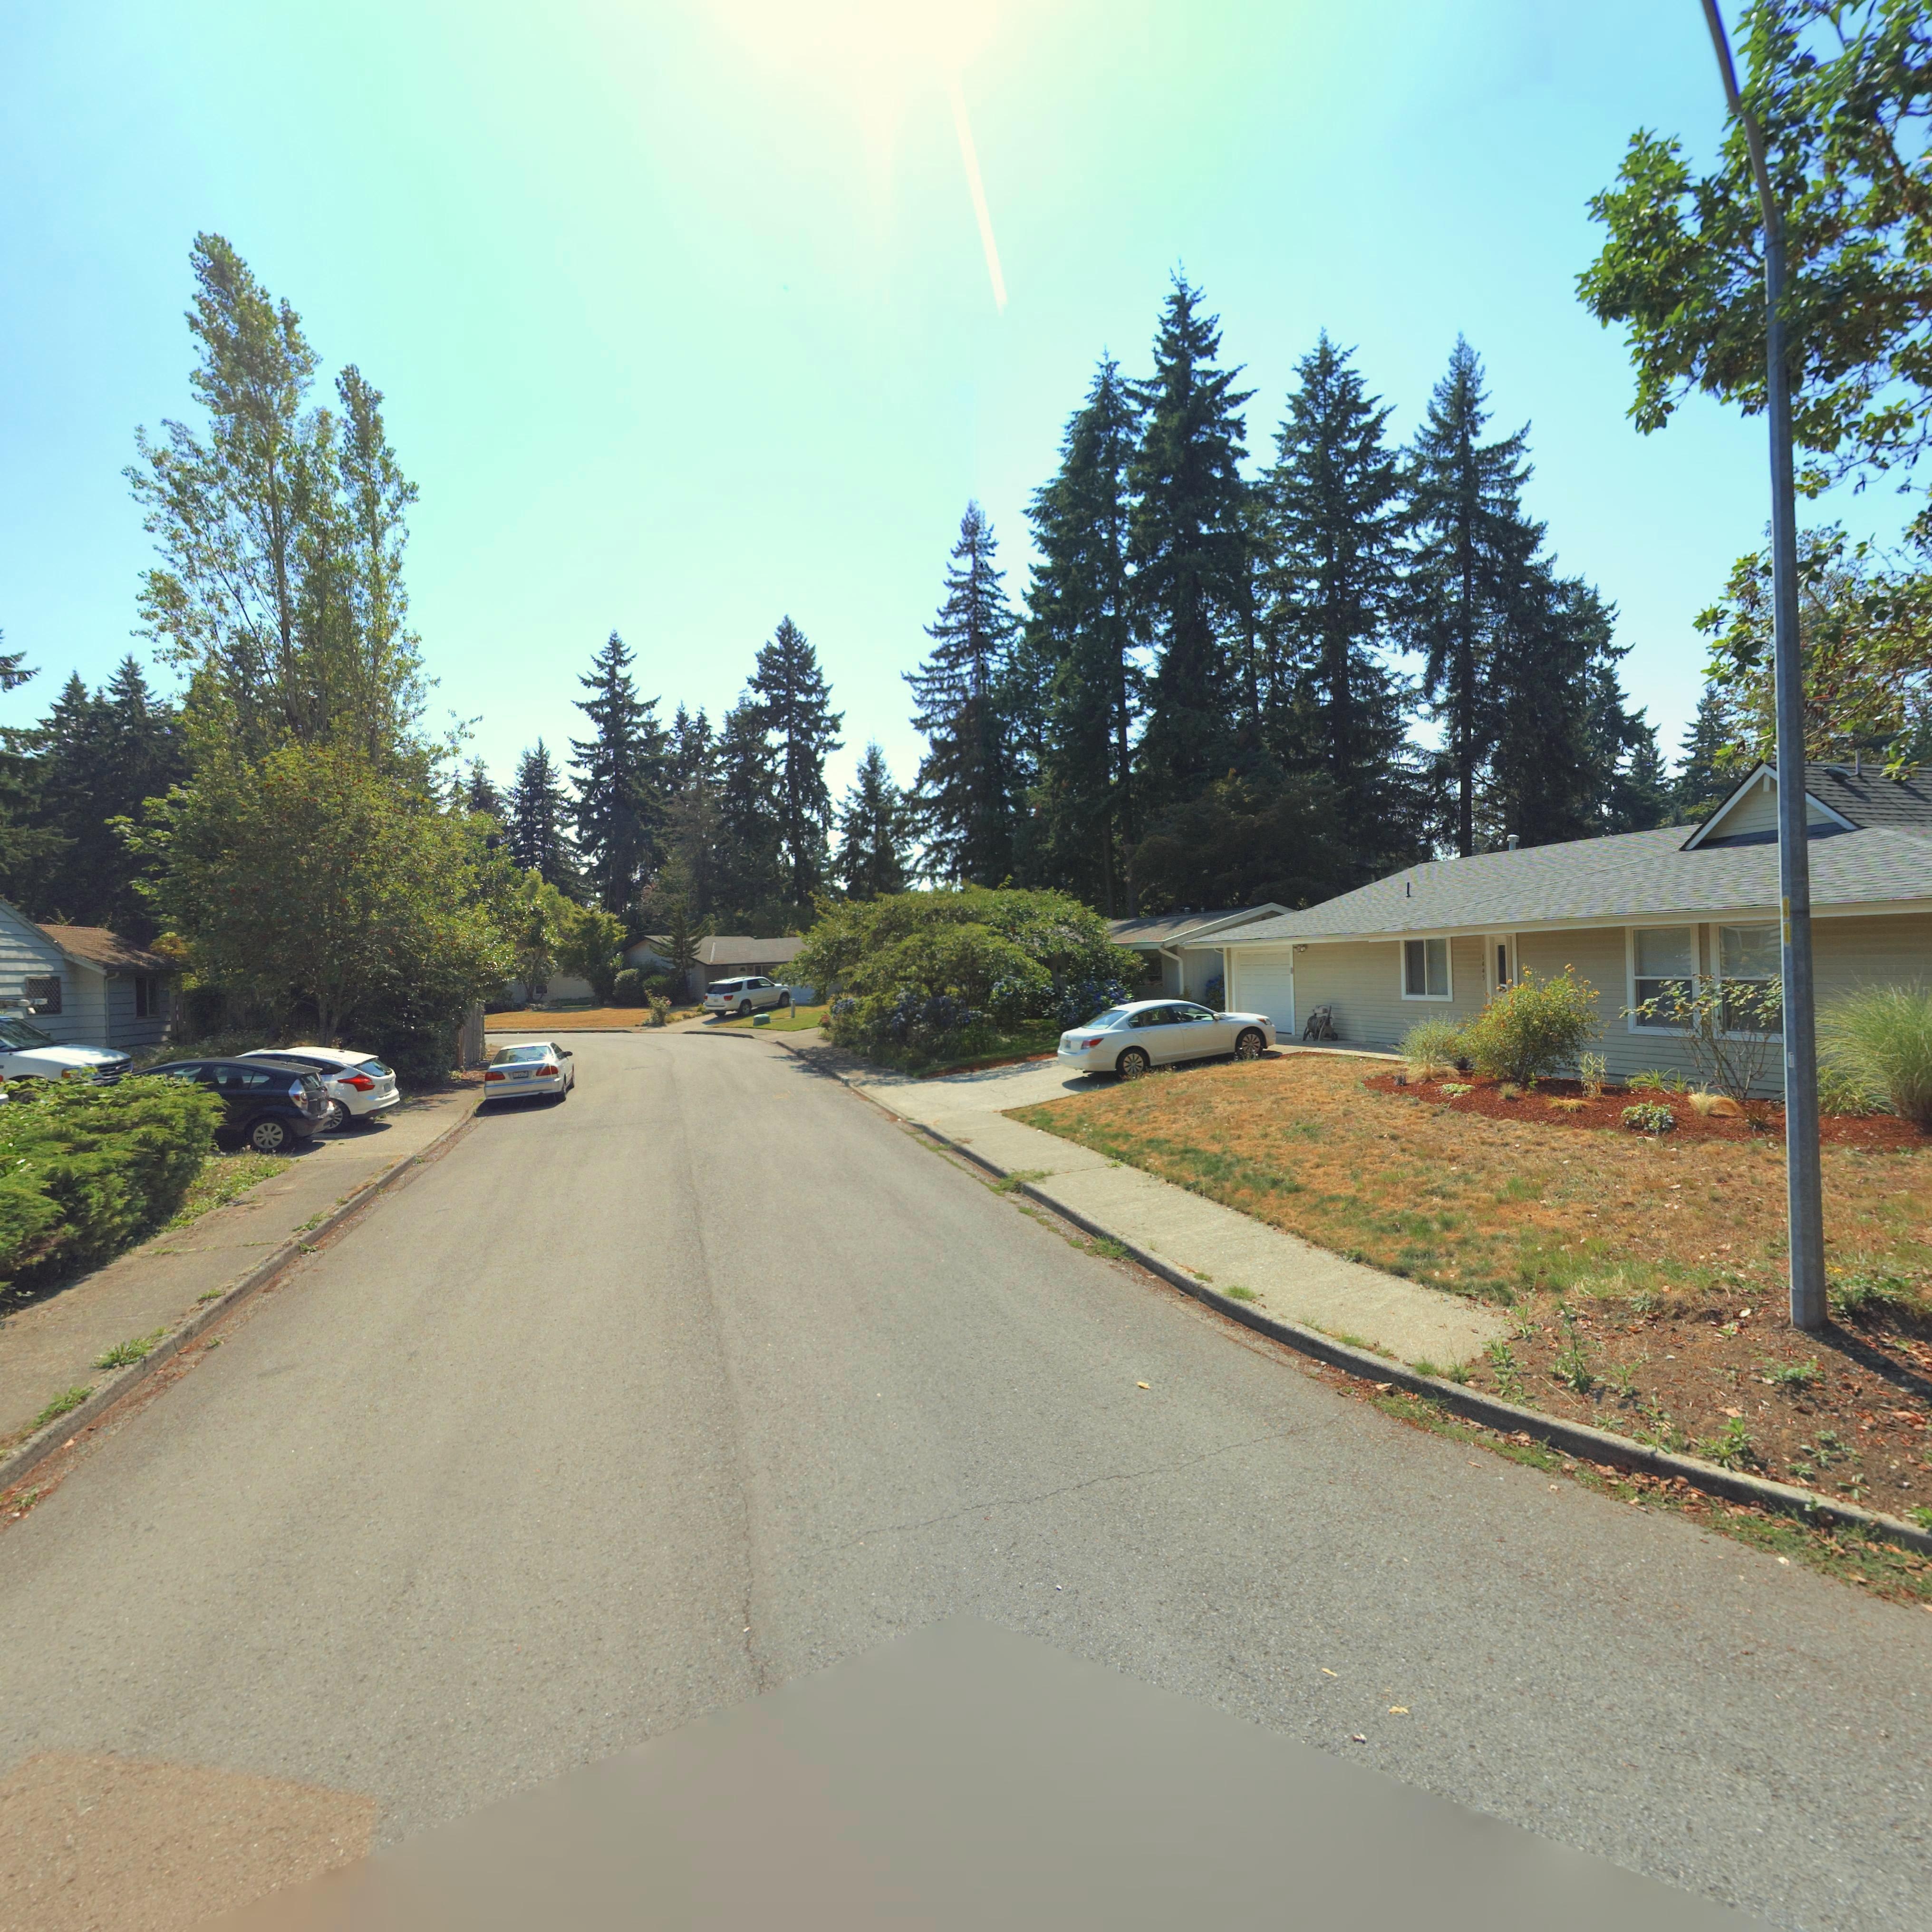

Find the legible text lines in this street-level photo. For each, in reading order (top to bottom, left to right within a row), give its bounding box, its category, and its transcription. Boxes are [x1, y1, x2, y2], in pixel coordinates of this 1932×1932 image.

[1482, 953, 1485, 981] StreetNumber: 1445